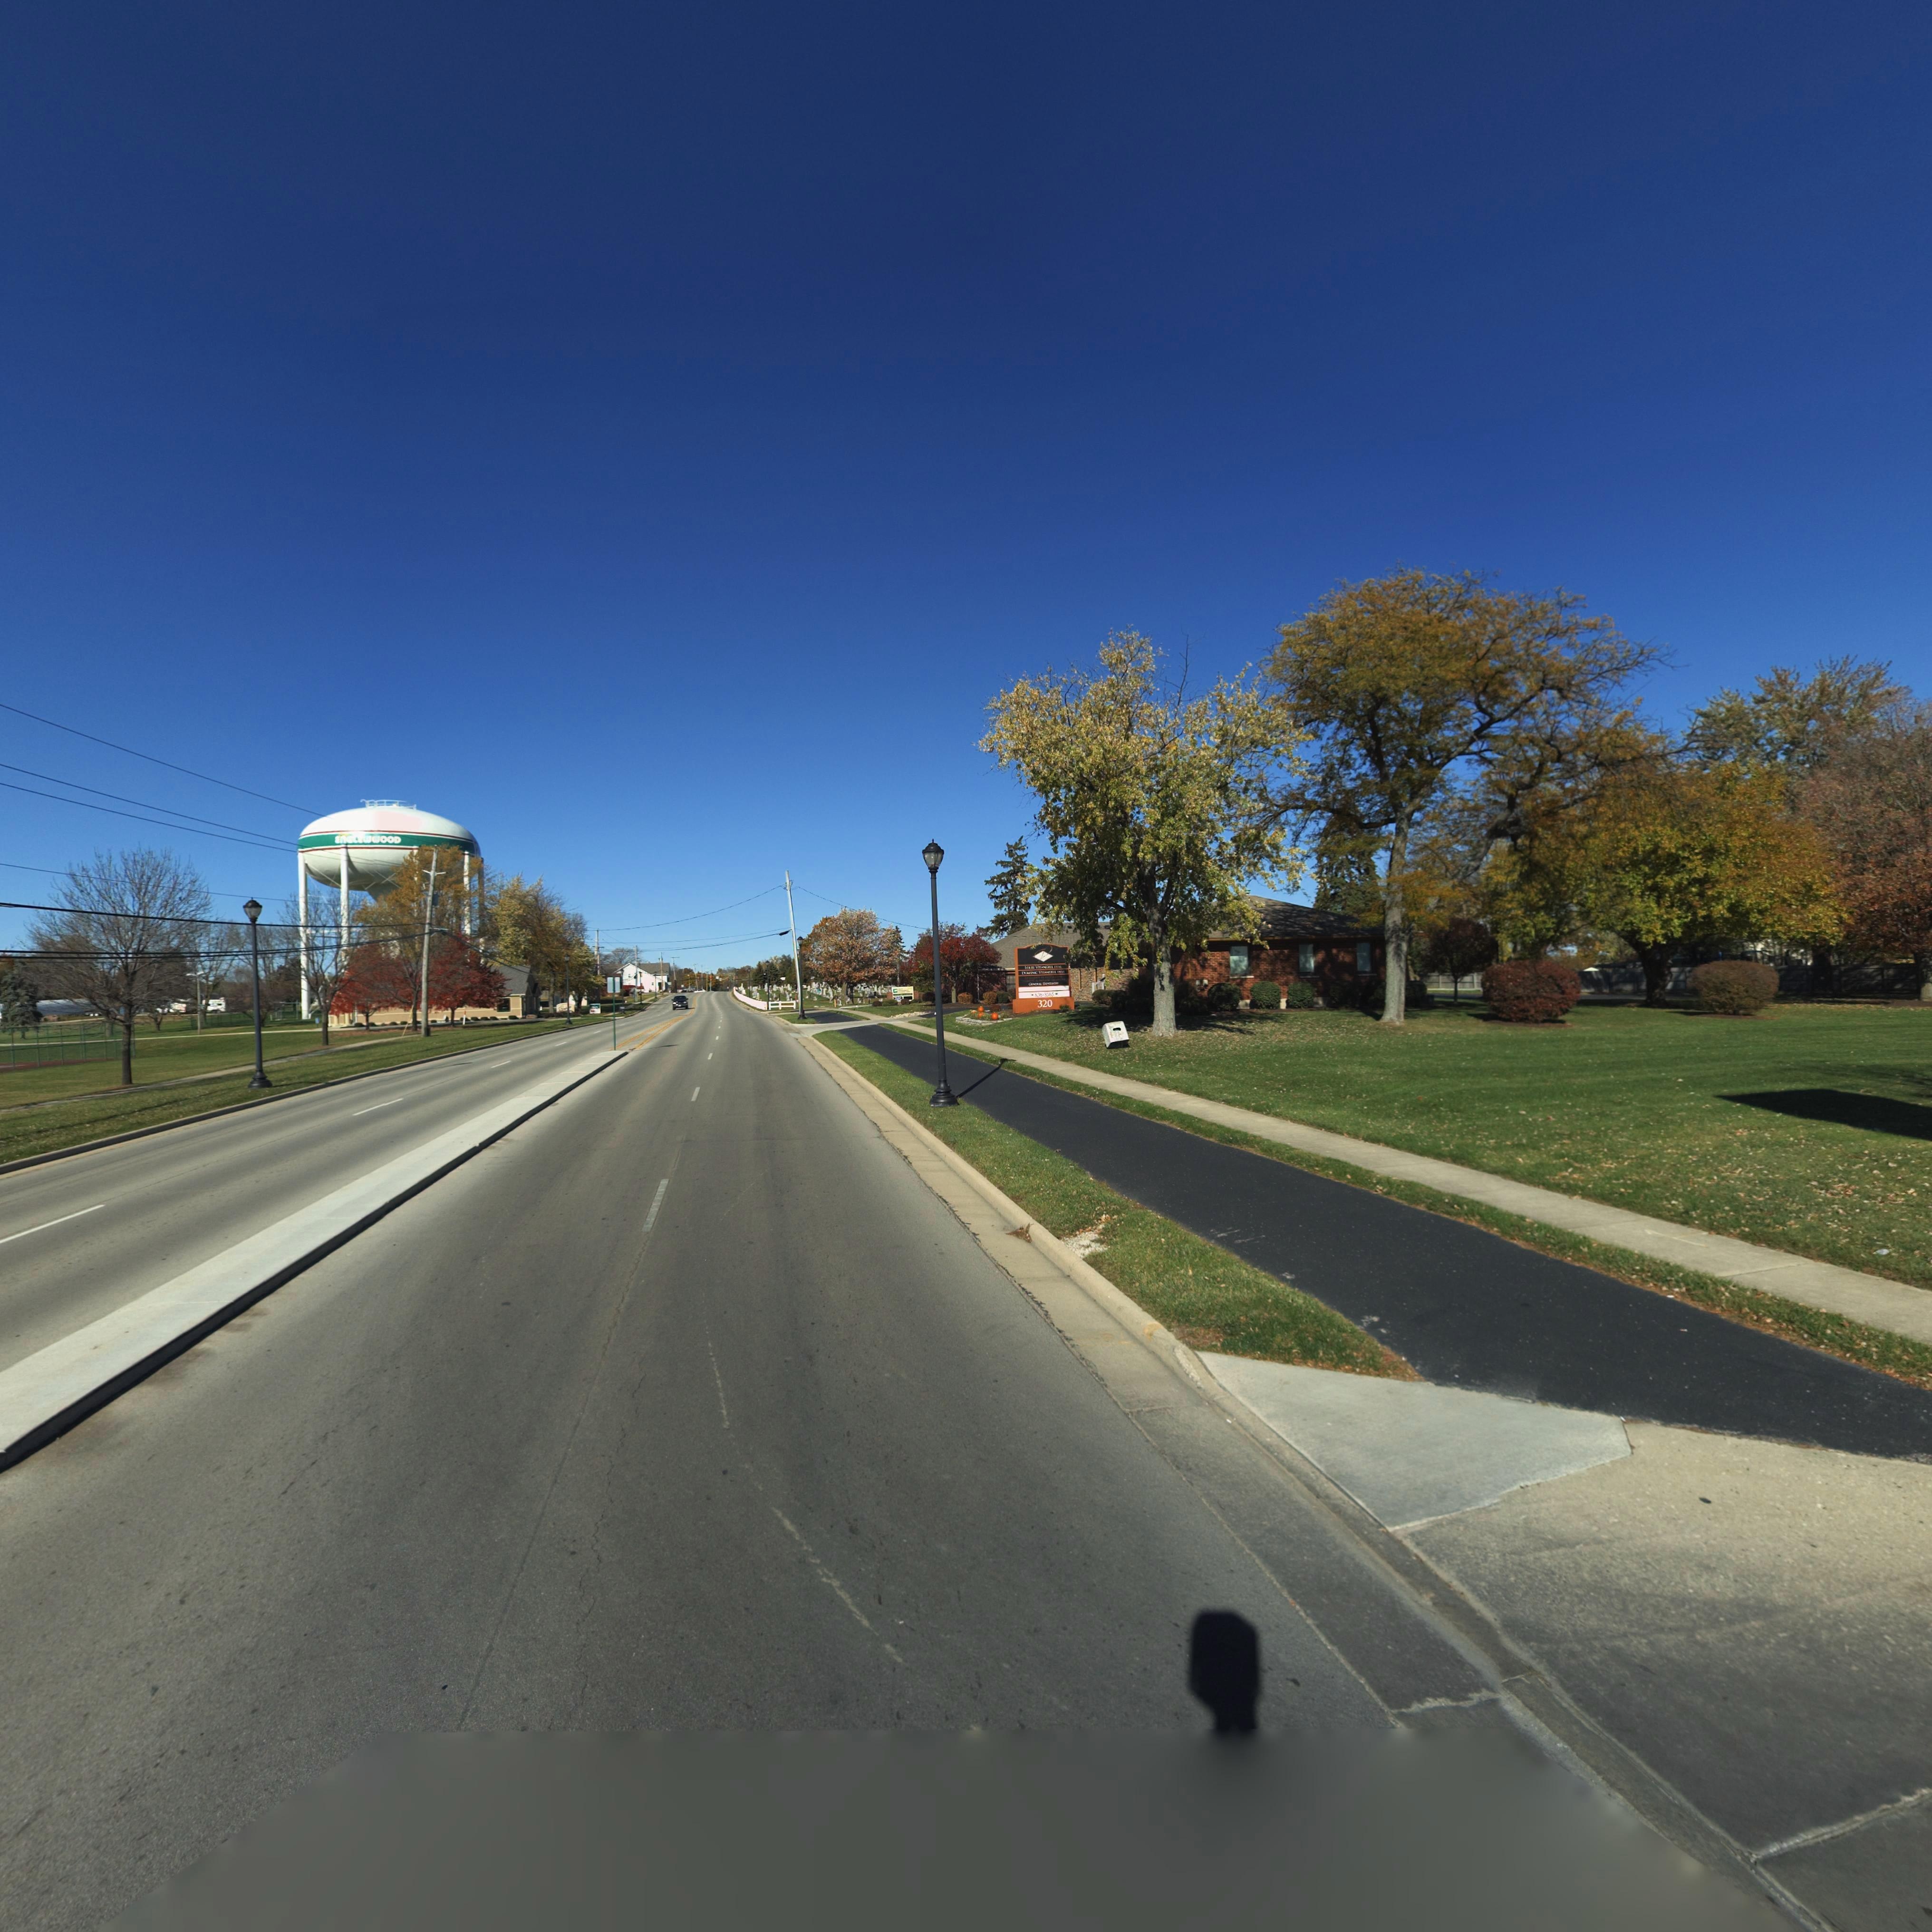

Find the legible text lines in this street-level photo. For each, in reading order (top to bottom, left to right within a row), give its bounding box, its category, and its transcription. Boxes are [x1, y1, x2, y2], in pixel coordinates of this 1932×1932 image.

[333, 834, 403, 844] None: ENGLEWWOOD
[1034, 991, 1055, 998] None: 836-3565
[1036, 998, 1053, 1009] StreetNumber: 320